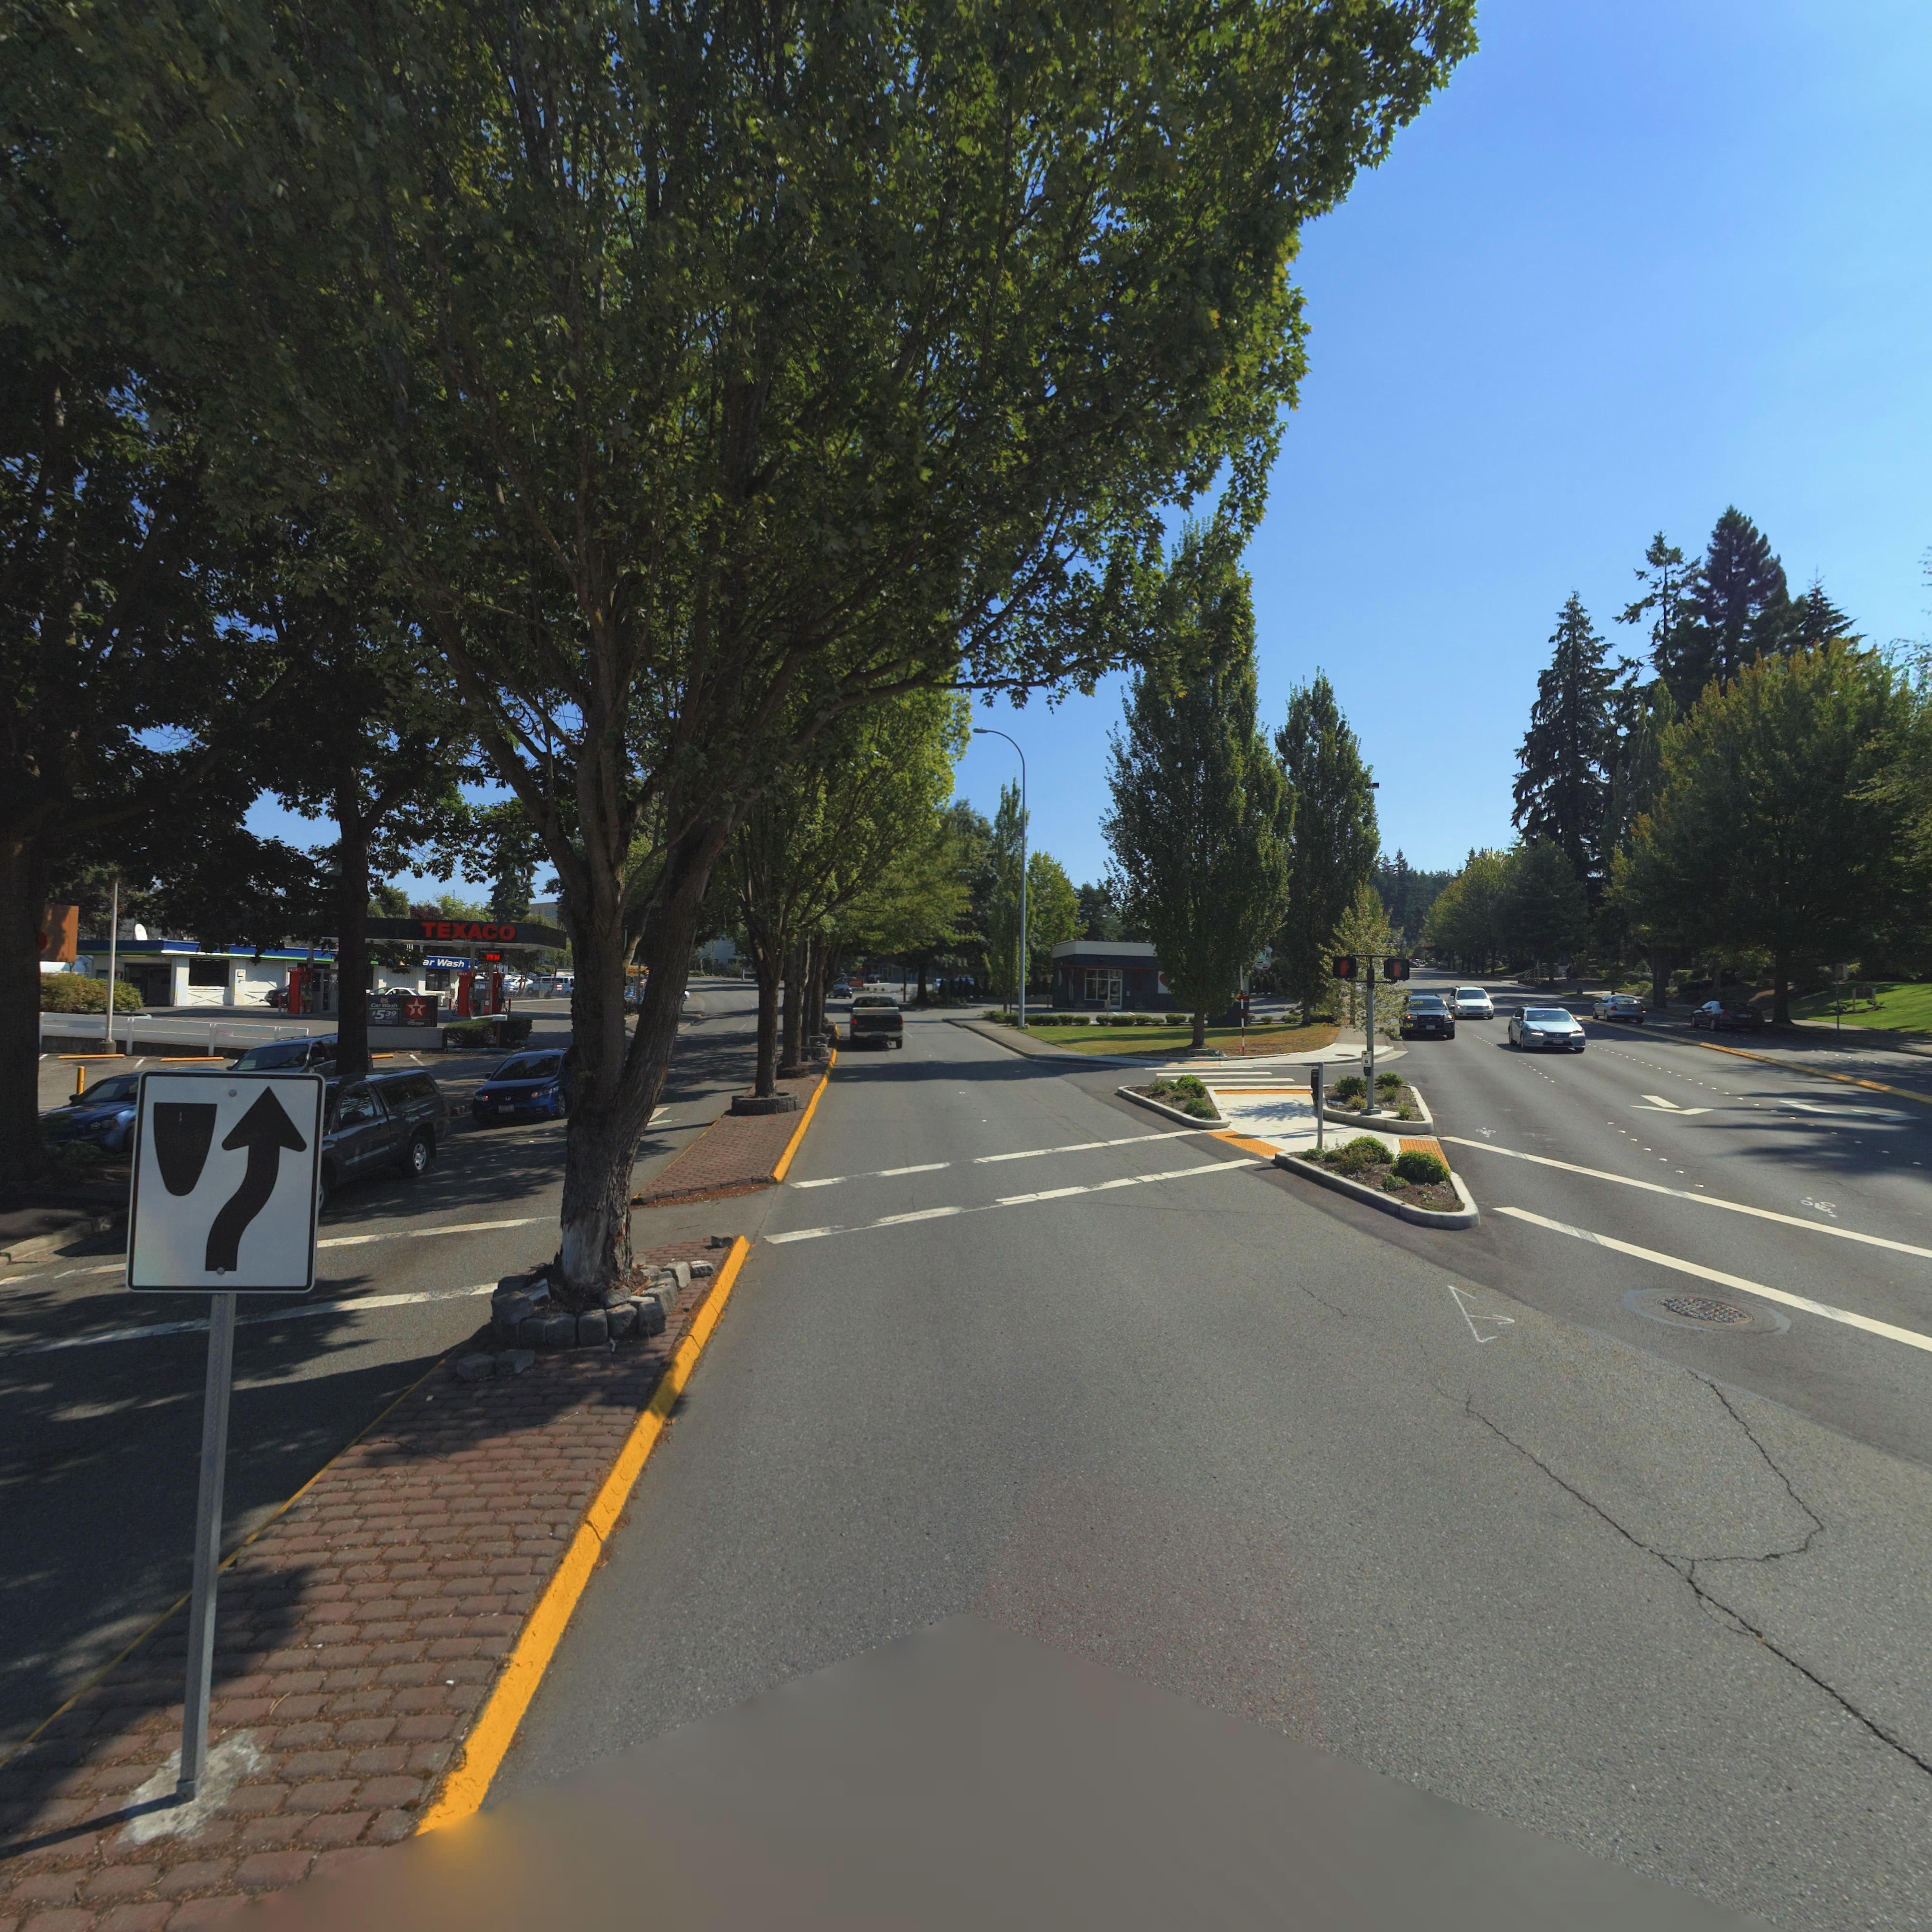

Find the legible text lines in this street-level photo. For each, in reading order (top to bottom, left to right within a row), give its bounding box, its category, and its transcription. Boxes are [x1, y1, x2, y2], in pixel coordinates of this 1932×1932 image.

[422, 922, 515, 939] BusinessName: TEXACO
[423, 960, 435, 966] BusinessName: ar
[437, 958, 465, 967] BusinessName: Wash